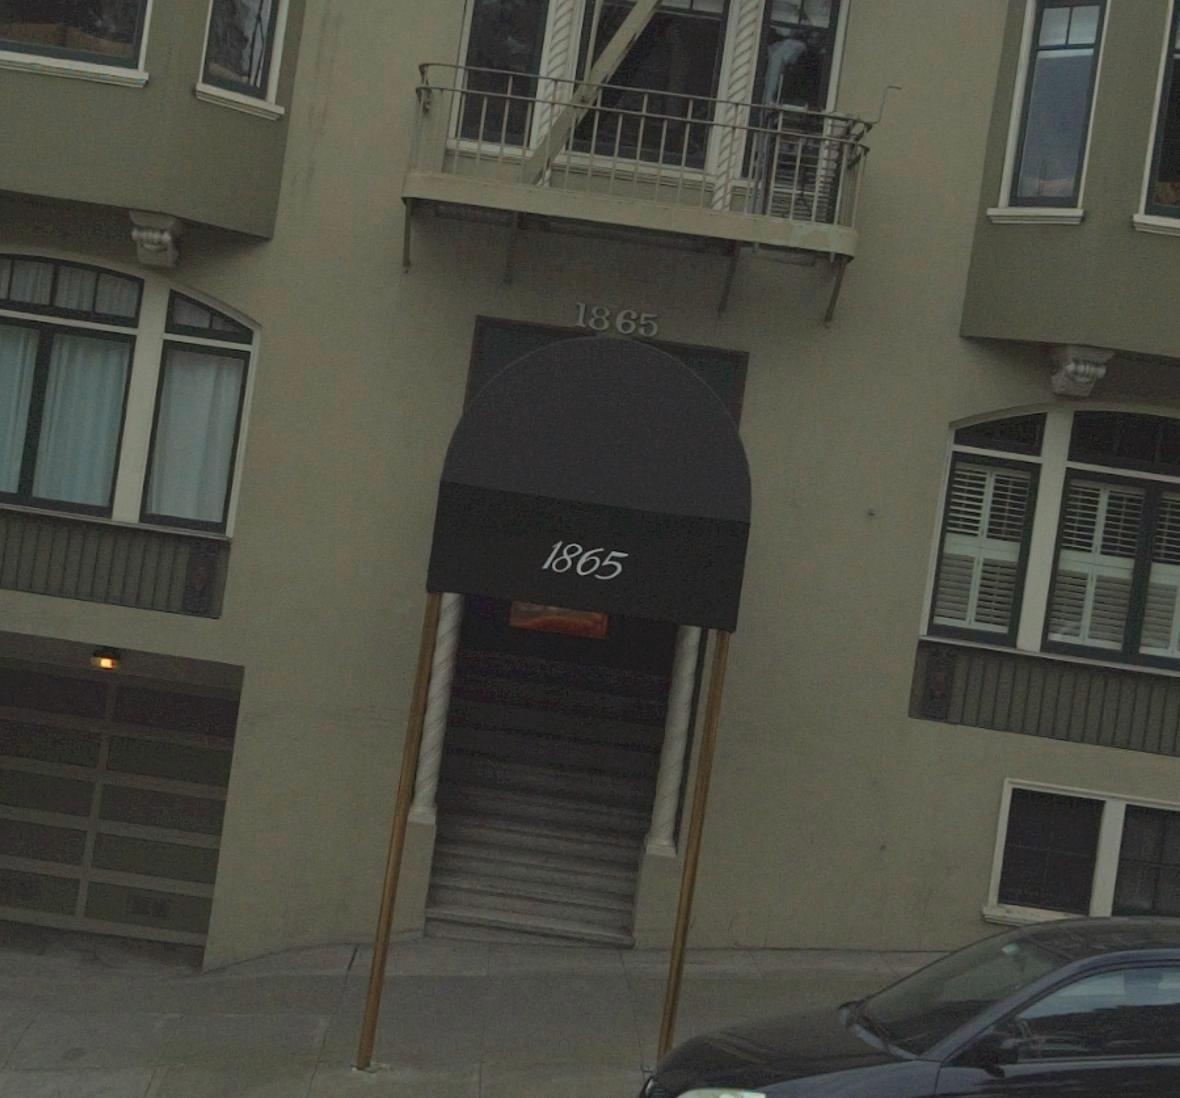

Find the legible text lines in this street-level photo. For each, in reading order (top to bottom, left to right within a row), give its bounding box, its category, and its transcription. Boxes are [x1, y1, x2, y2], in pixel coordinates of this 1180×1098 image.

[571, 300, 661, 340] StreetNumber: 1865
[538, 538, 631, 583] StreetNumber: 1865